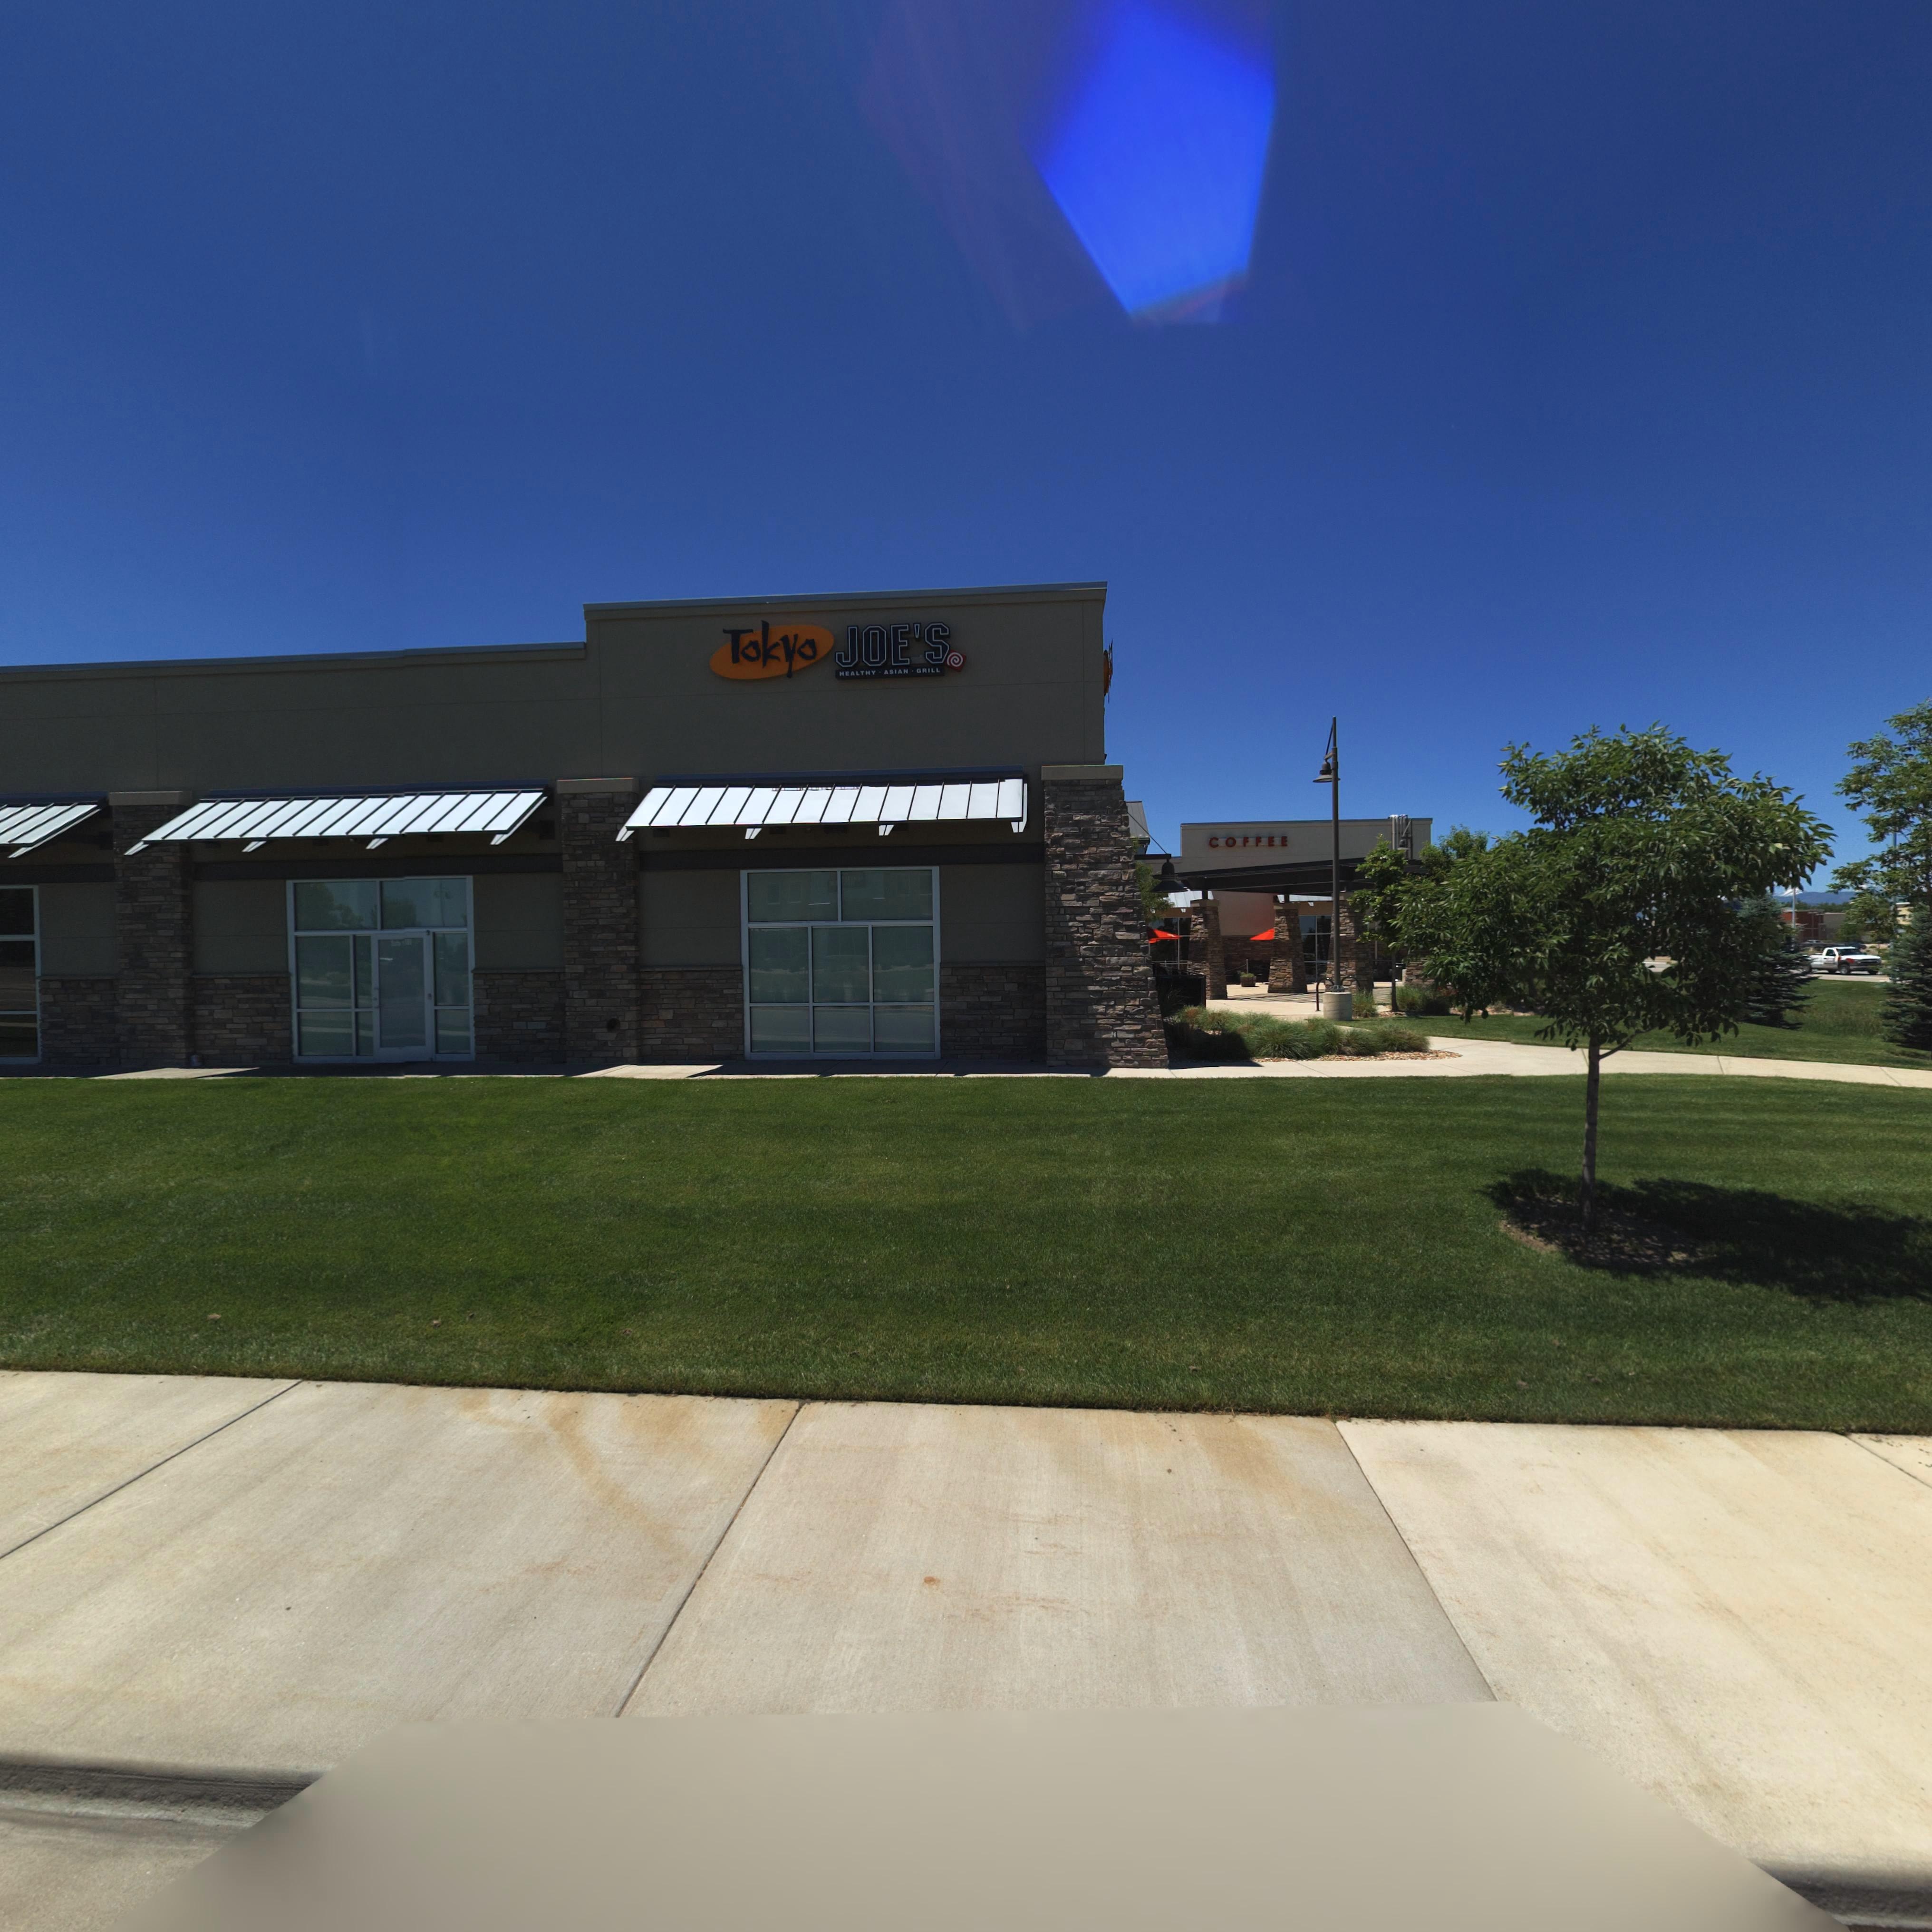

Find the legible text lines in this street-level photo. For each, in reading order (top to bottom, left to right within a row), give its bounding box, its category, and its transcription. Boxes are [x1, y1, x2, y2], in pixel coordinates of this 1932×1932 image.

[718, 618, 820, 680] BusinessName: Tokyo
[833, 620, 954, 667] BusinessName: JOE'S
[1208, 835, 1289, 848] BusinessName: COFFEE